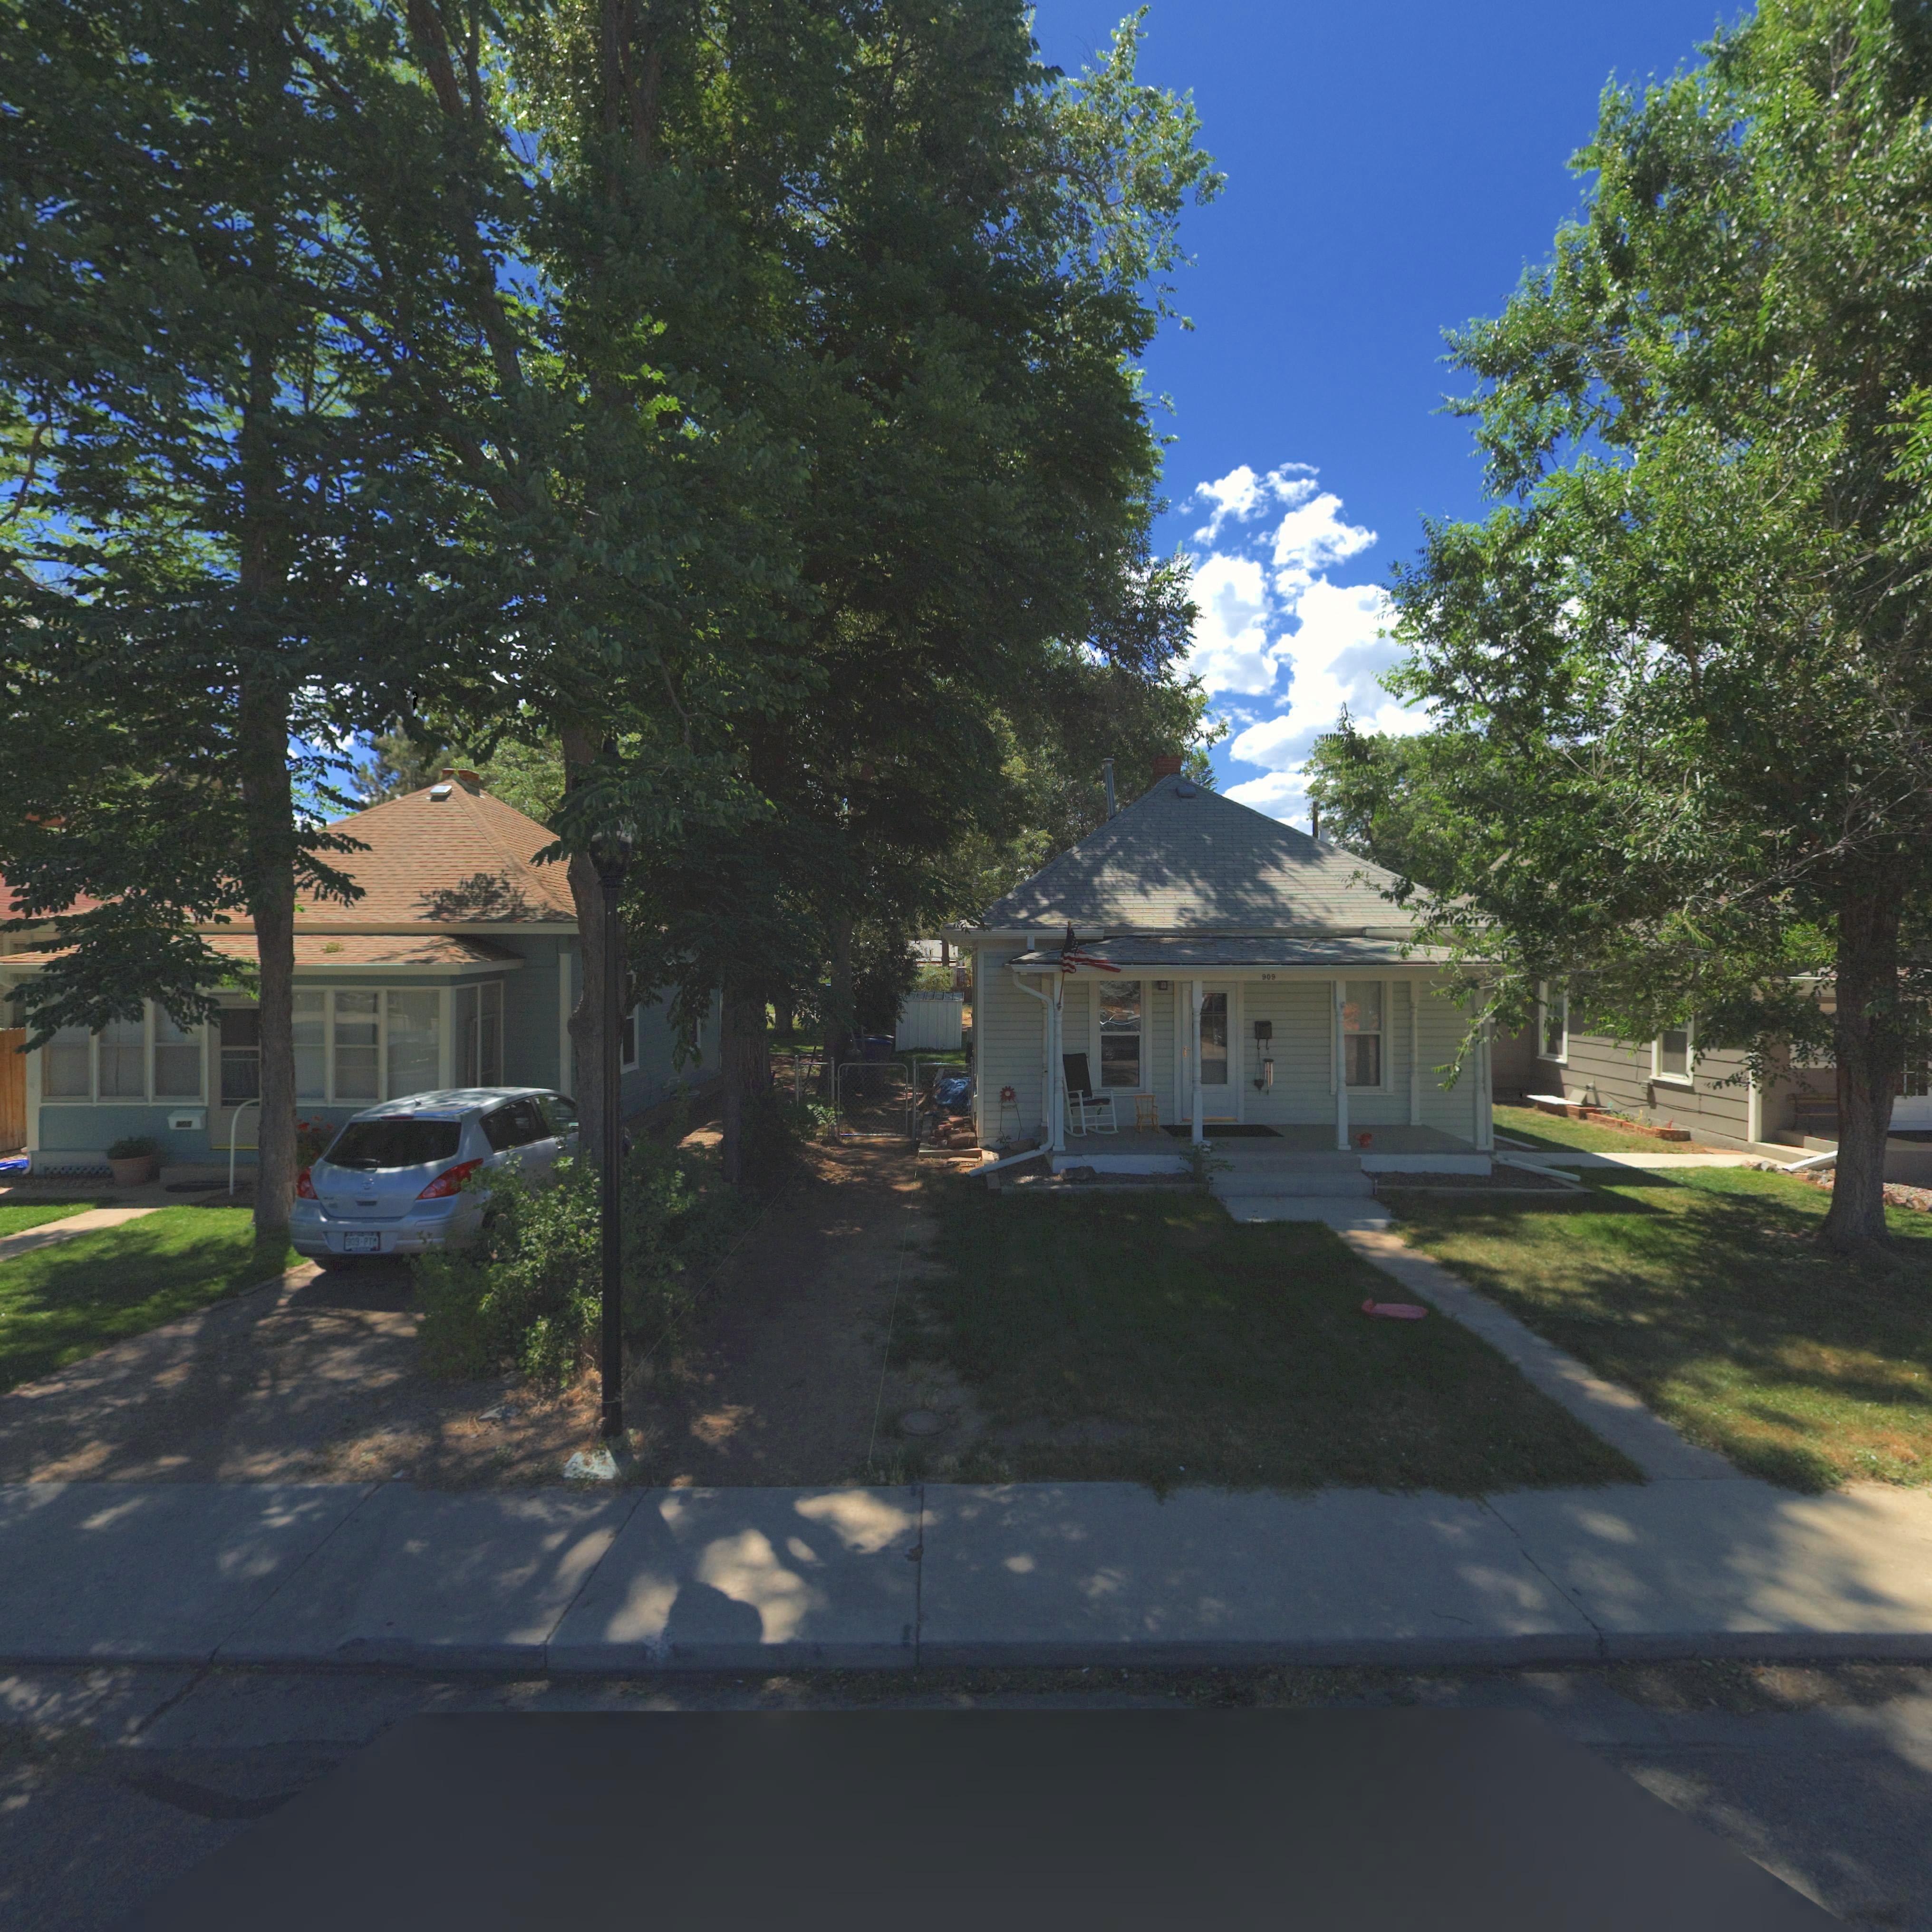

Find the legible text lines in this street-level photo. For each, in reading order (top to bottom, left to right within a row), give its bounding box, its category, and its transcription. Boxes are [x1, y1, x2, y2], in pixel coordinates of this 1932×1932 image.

[1261, 973, 1275, 980] StreetNumber: 909